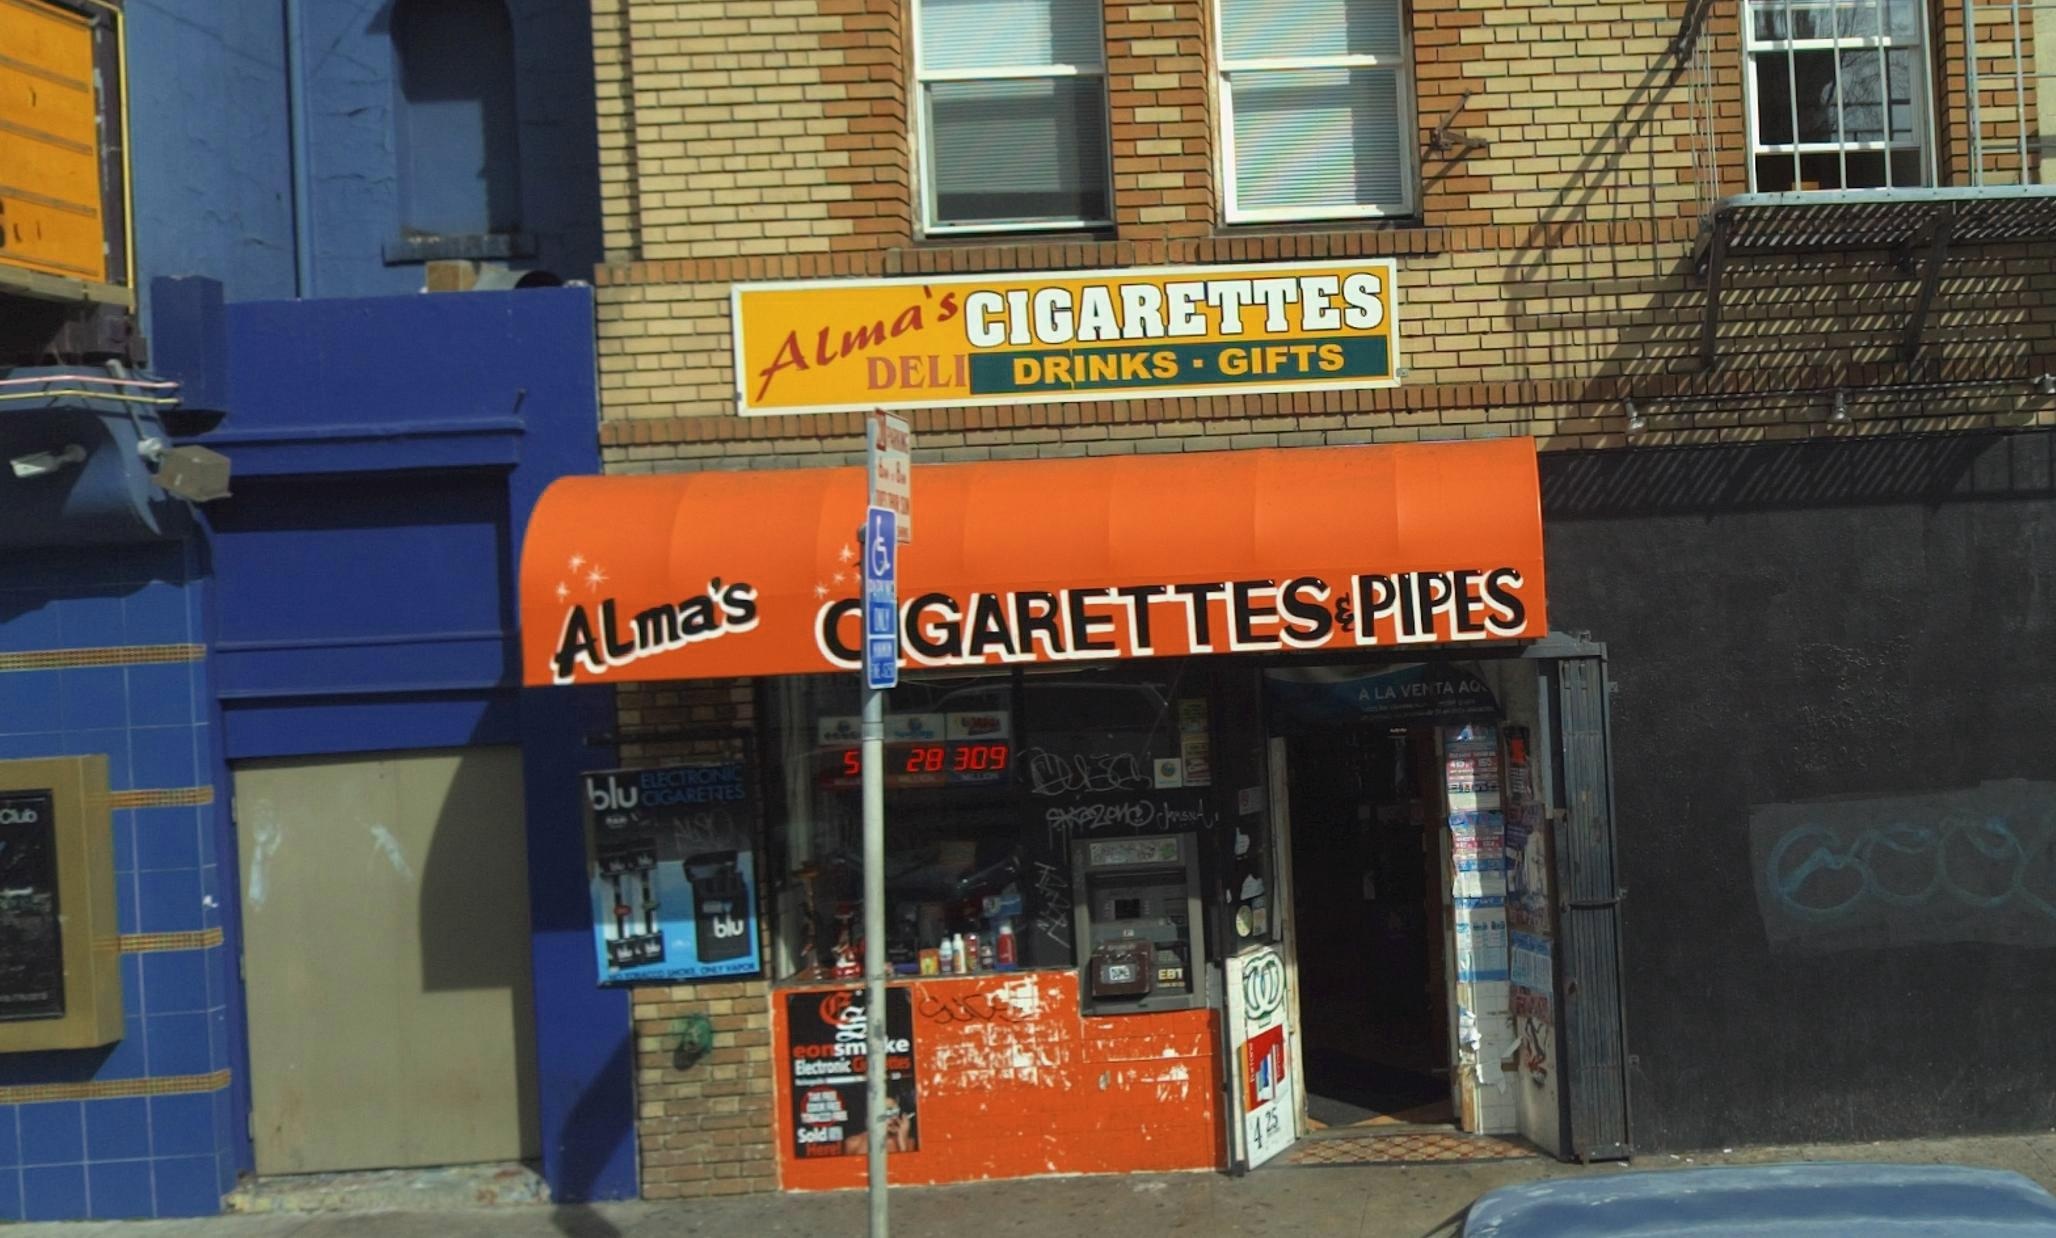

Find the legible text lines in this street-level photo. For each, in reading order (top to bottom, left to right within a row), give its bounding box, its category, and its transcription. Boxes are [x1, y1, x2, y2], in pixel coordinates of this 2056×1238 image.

[961, 269, 1389, 353] None: CIGARETTES
[750, 281, 963, 409] BusinessName: Alma'S
[862, 350, 970, 394] BusinessName: DELI
[1010, 340, 1348, 388] None: DRINK * GIFTS
[540, 571, 760, 686] BusinessName: Alma's
[900, 562, 1528, 668] None: GARETTES&PIPES
[1354, 676, 1484, 705] None: A LA VE*TA AQ
[606, 773, 640, 811] None: lu
[638, 763, 746, 791] None: ELECTRONIC
[640, 782, 748, 810] None: CIGARETTES
[841, 747, 864, 777] None: 5
[901, 745, 947, 775] None: 28
[951, 742, 1010, 774] None: 309
[13, 804, 40, 825] None: ub
[1103, 804, 1119, 822] None: o
[1757, 809, 2036, 932] None: *OO
[709, 911, 748, 943] None: blu
[1155, 965, 1187, 984] None: EBT
[915, 991, 983, 1029] None: SU
[790, 1032, 912, 1061] None: eon sm**e
[792, 1052, 914, 1080] None: Electronic C*****ttes
[795, 1123, 830, 1146] None: Sold
[1250, 1112, 1264, 1152] None: 4
[1262, 1102, 1281, 1137] None: 25